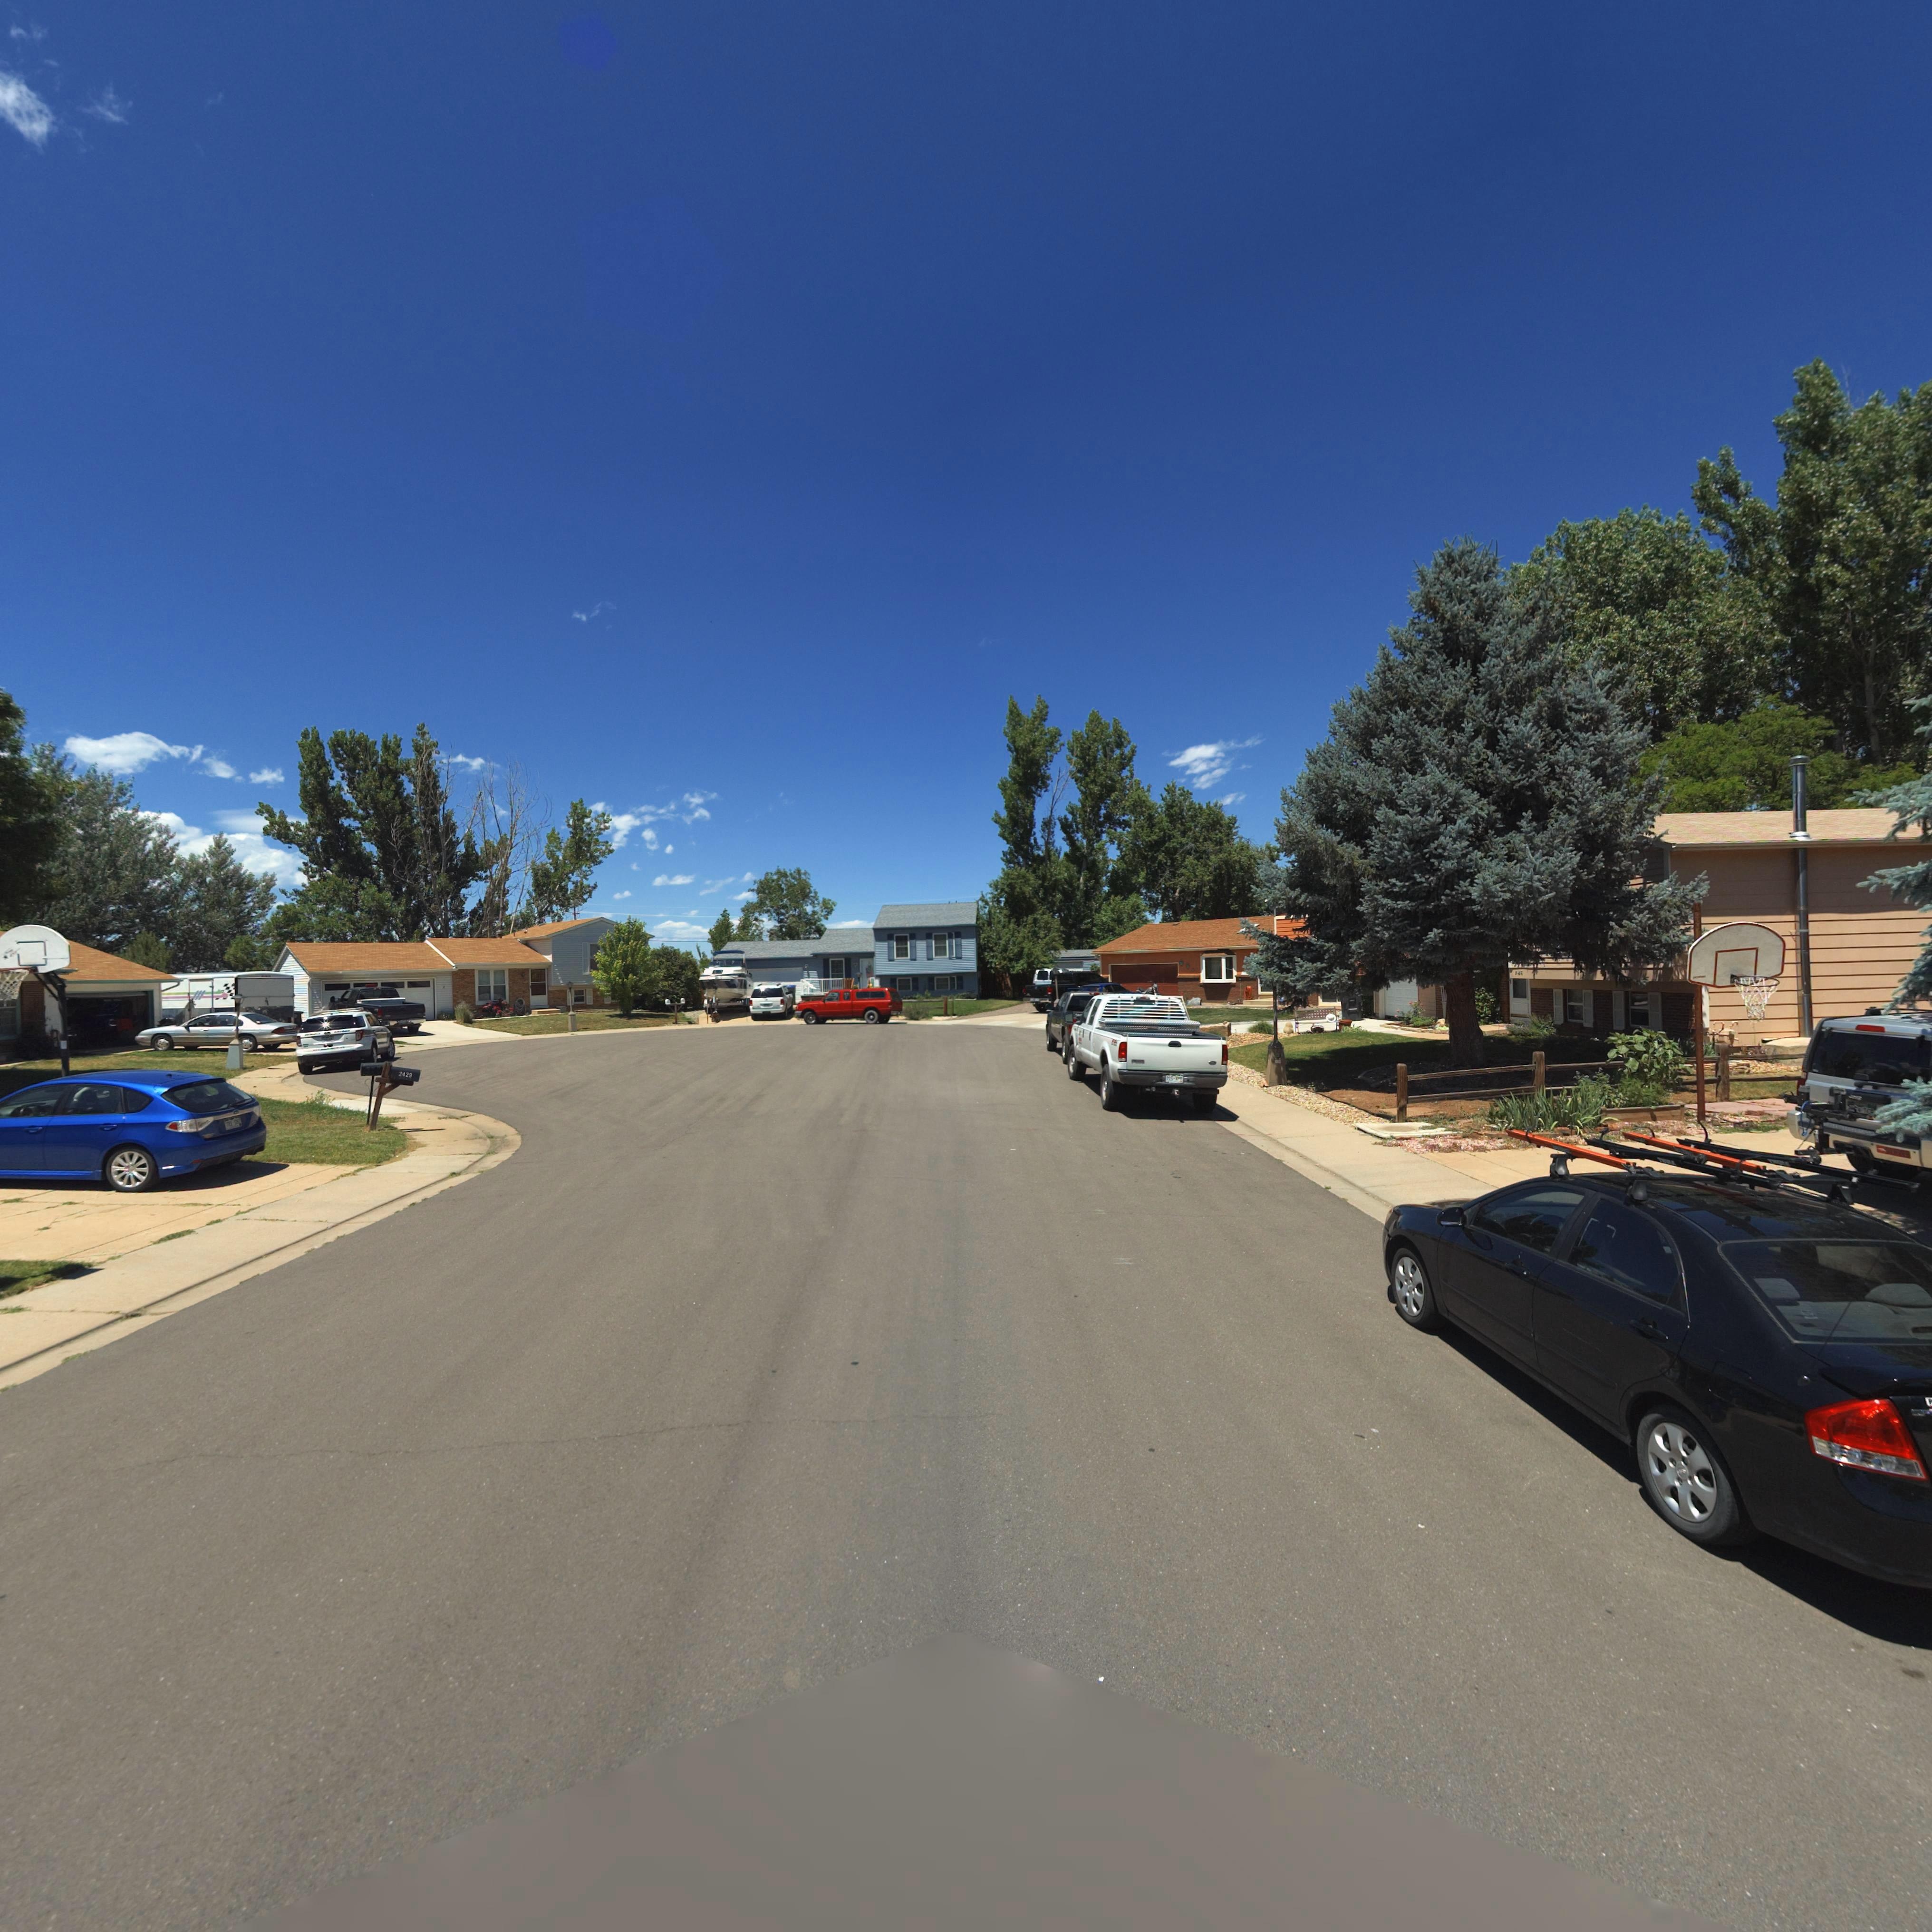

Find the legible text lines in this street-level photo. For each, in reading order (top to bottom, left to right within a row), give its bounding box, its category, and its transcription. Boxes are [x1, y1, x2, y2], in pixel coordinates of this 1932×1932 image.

[1514, 970, 1523, 975] StreetNumber: ***4
[398, 1071, 413, 1078] StreetNumber: 2429